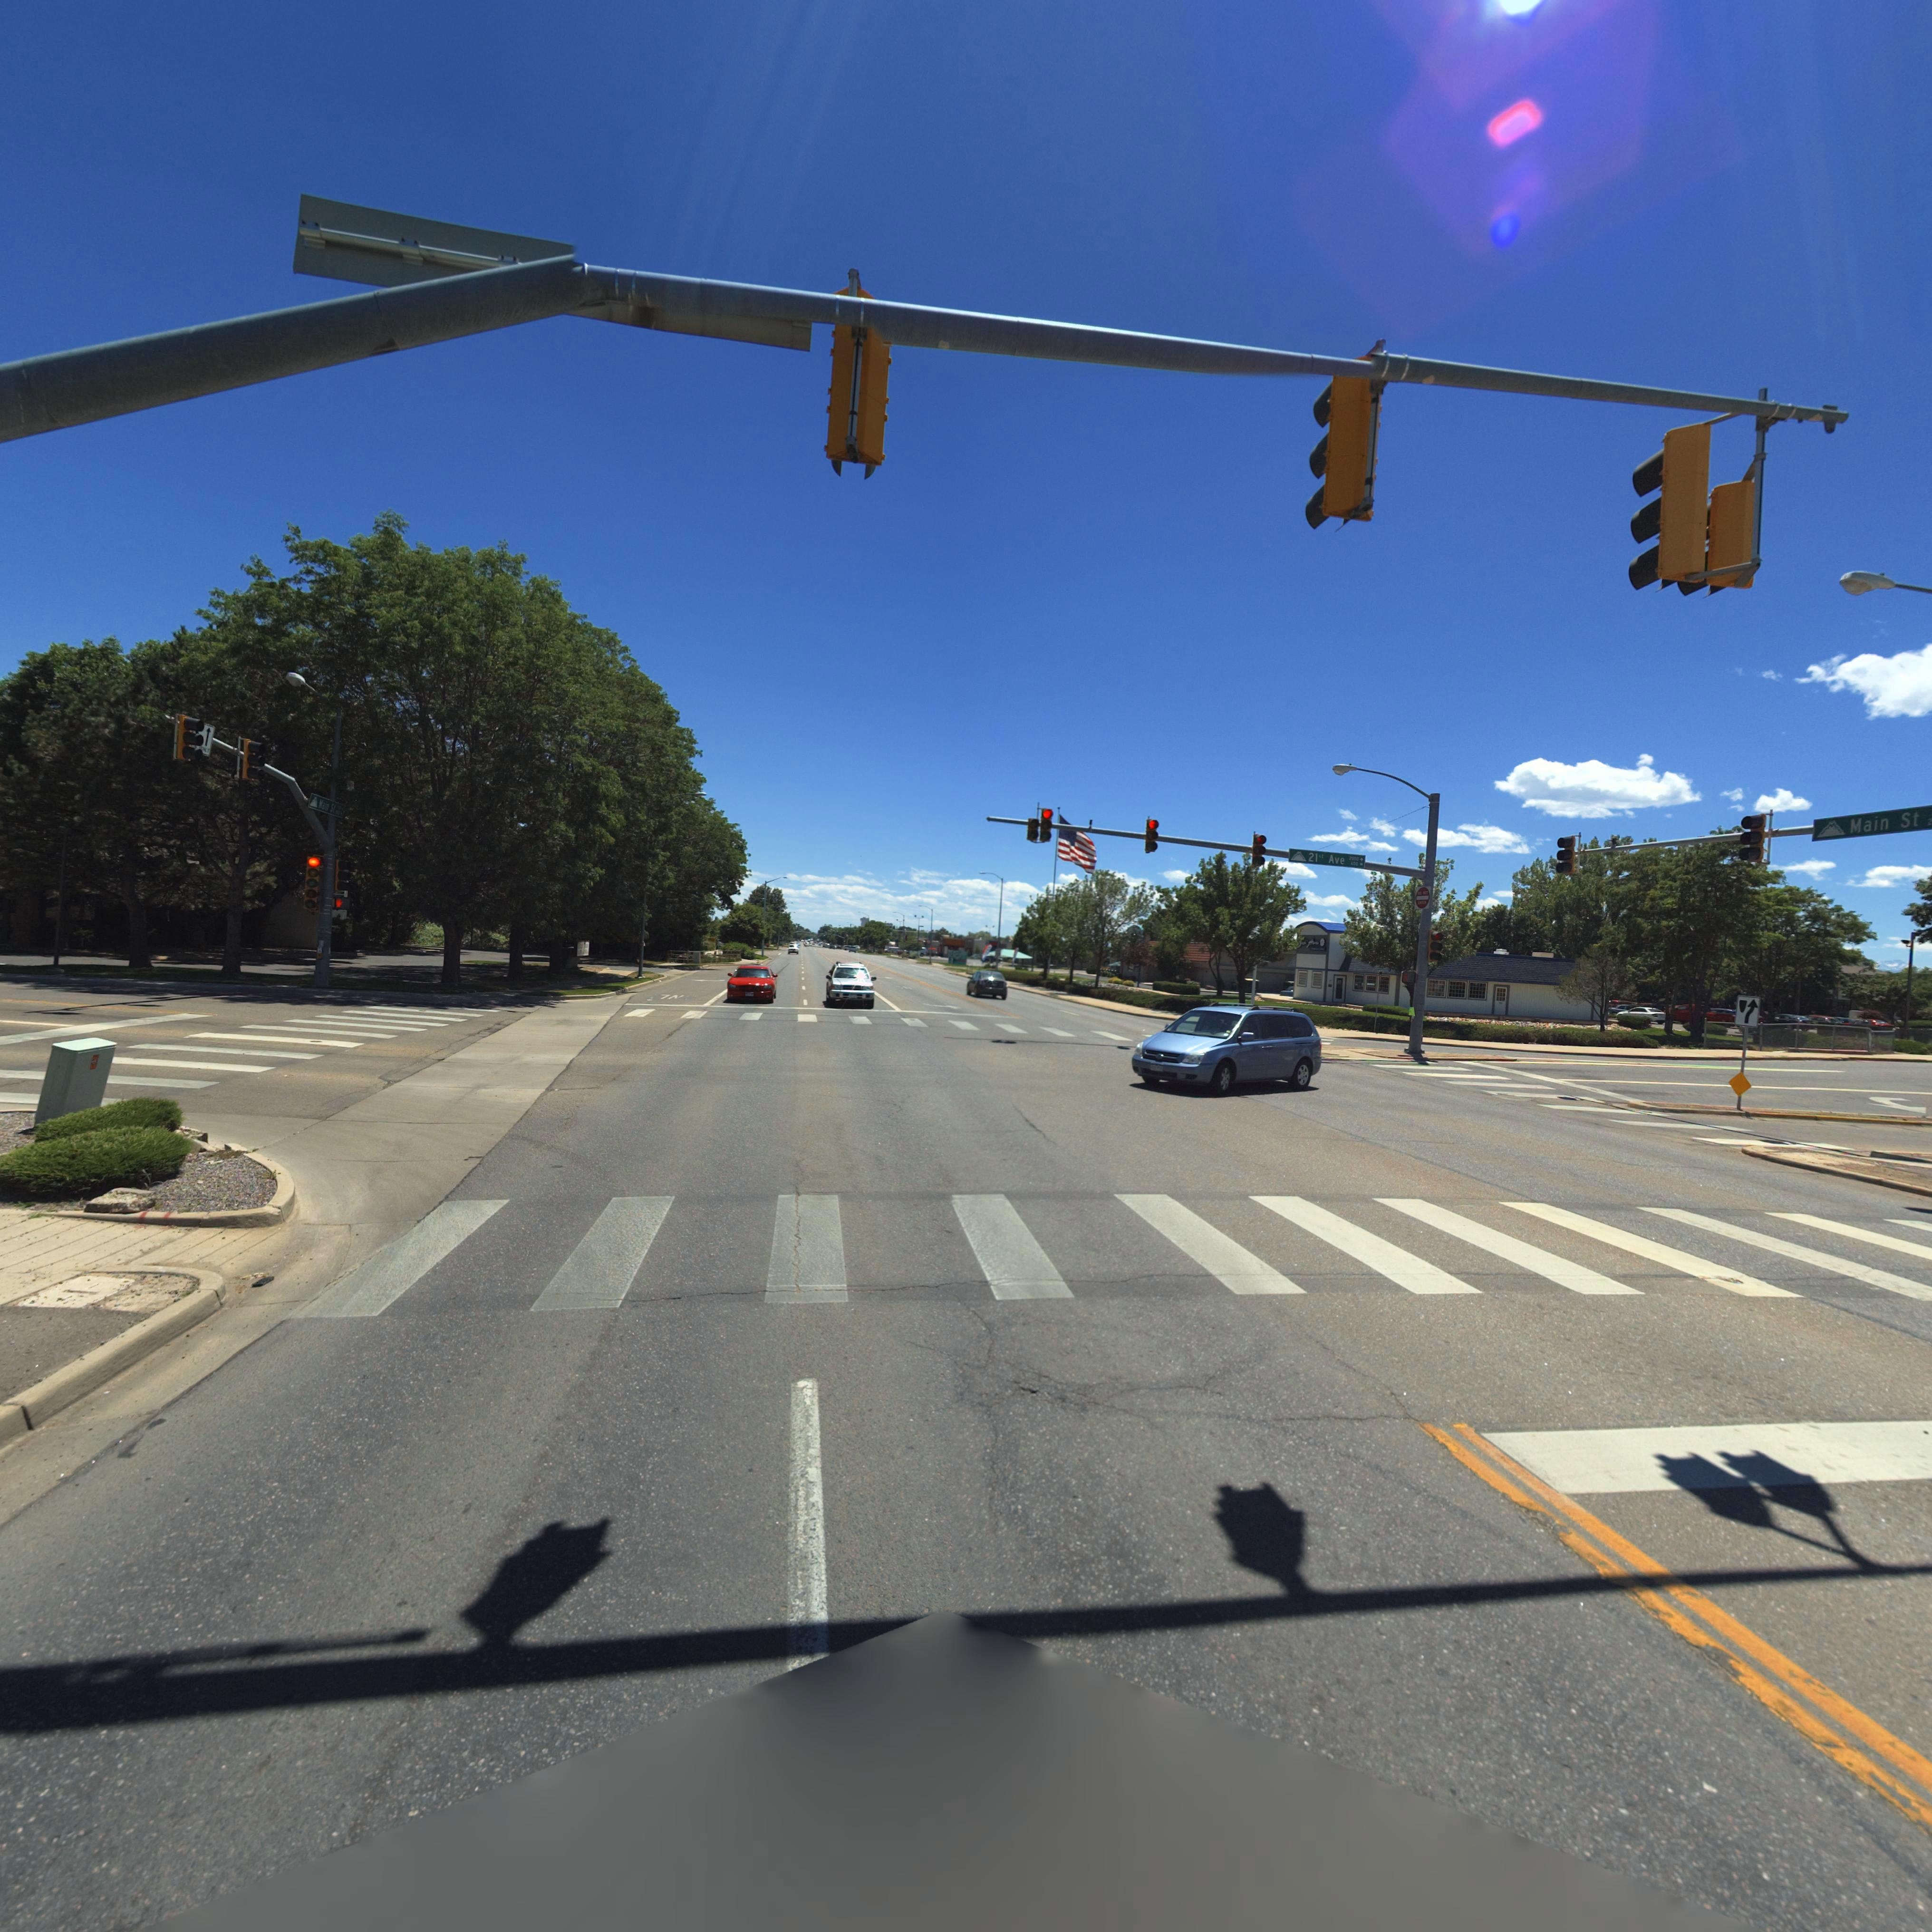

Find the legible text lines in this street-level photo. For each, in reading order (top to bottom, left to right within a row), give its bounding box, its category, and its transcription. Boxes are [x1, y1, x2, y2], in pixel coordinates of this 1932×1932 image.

[318, 798, 336, 813] StreetName: Main St
[1849, 811, 1920, 833] StreetName: Main St
[1308, 852, 1345, 865] StreetName: 21st Ave
[1348, 855, 1359, 861] StreetNumberRange: 2*00
[1350, 861, 1363, 866] StreetNumberRange: *00->
[1295, 936, 1319, 948] BusinessName: S*** A**